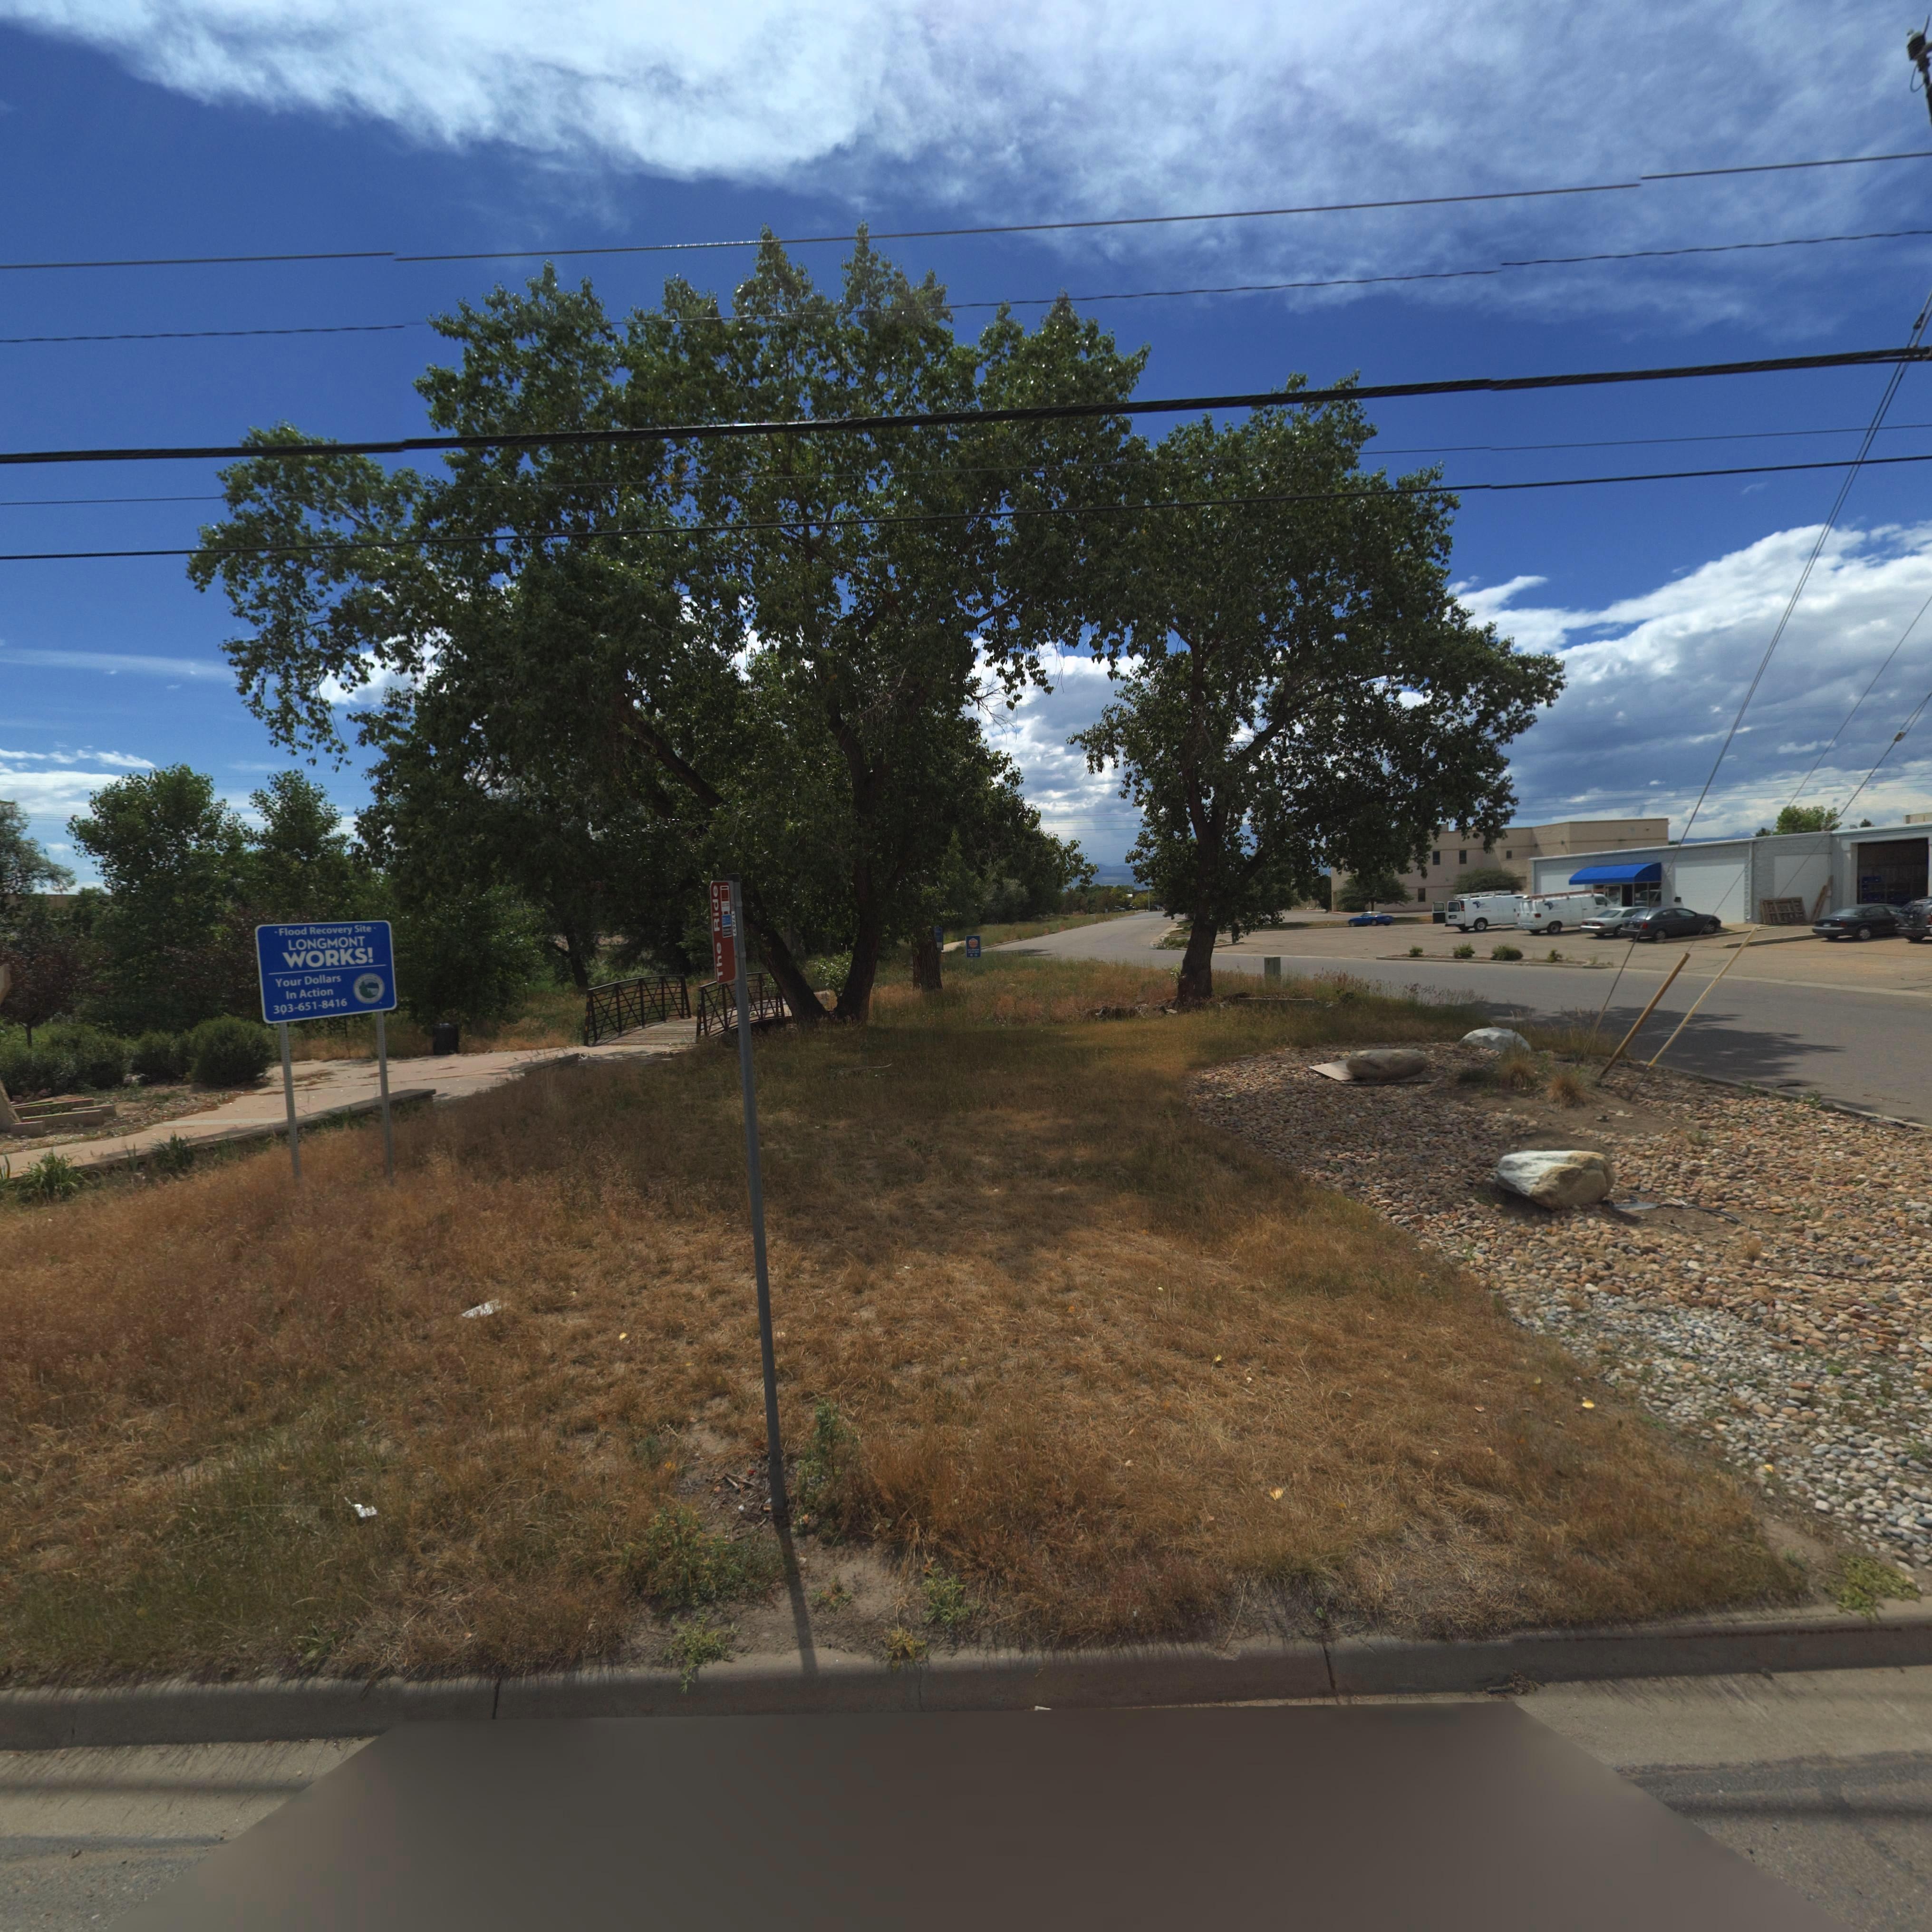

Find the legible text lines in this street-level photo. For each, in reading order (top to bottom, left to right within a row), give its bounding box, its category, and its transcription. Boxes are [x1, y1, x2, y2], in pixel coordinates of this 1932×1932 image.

[273, 998, 348, 1015] PhoneNumber: 303-651-8416